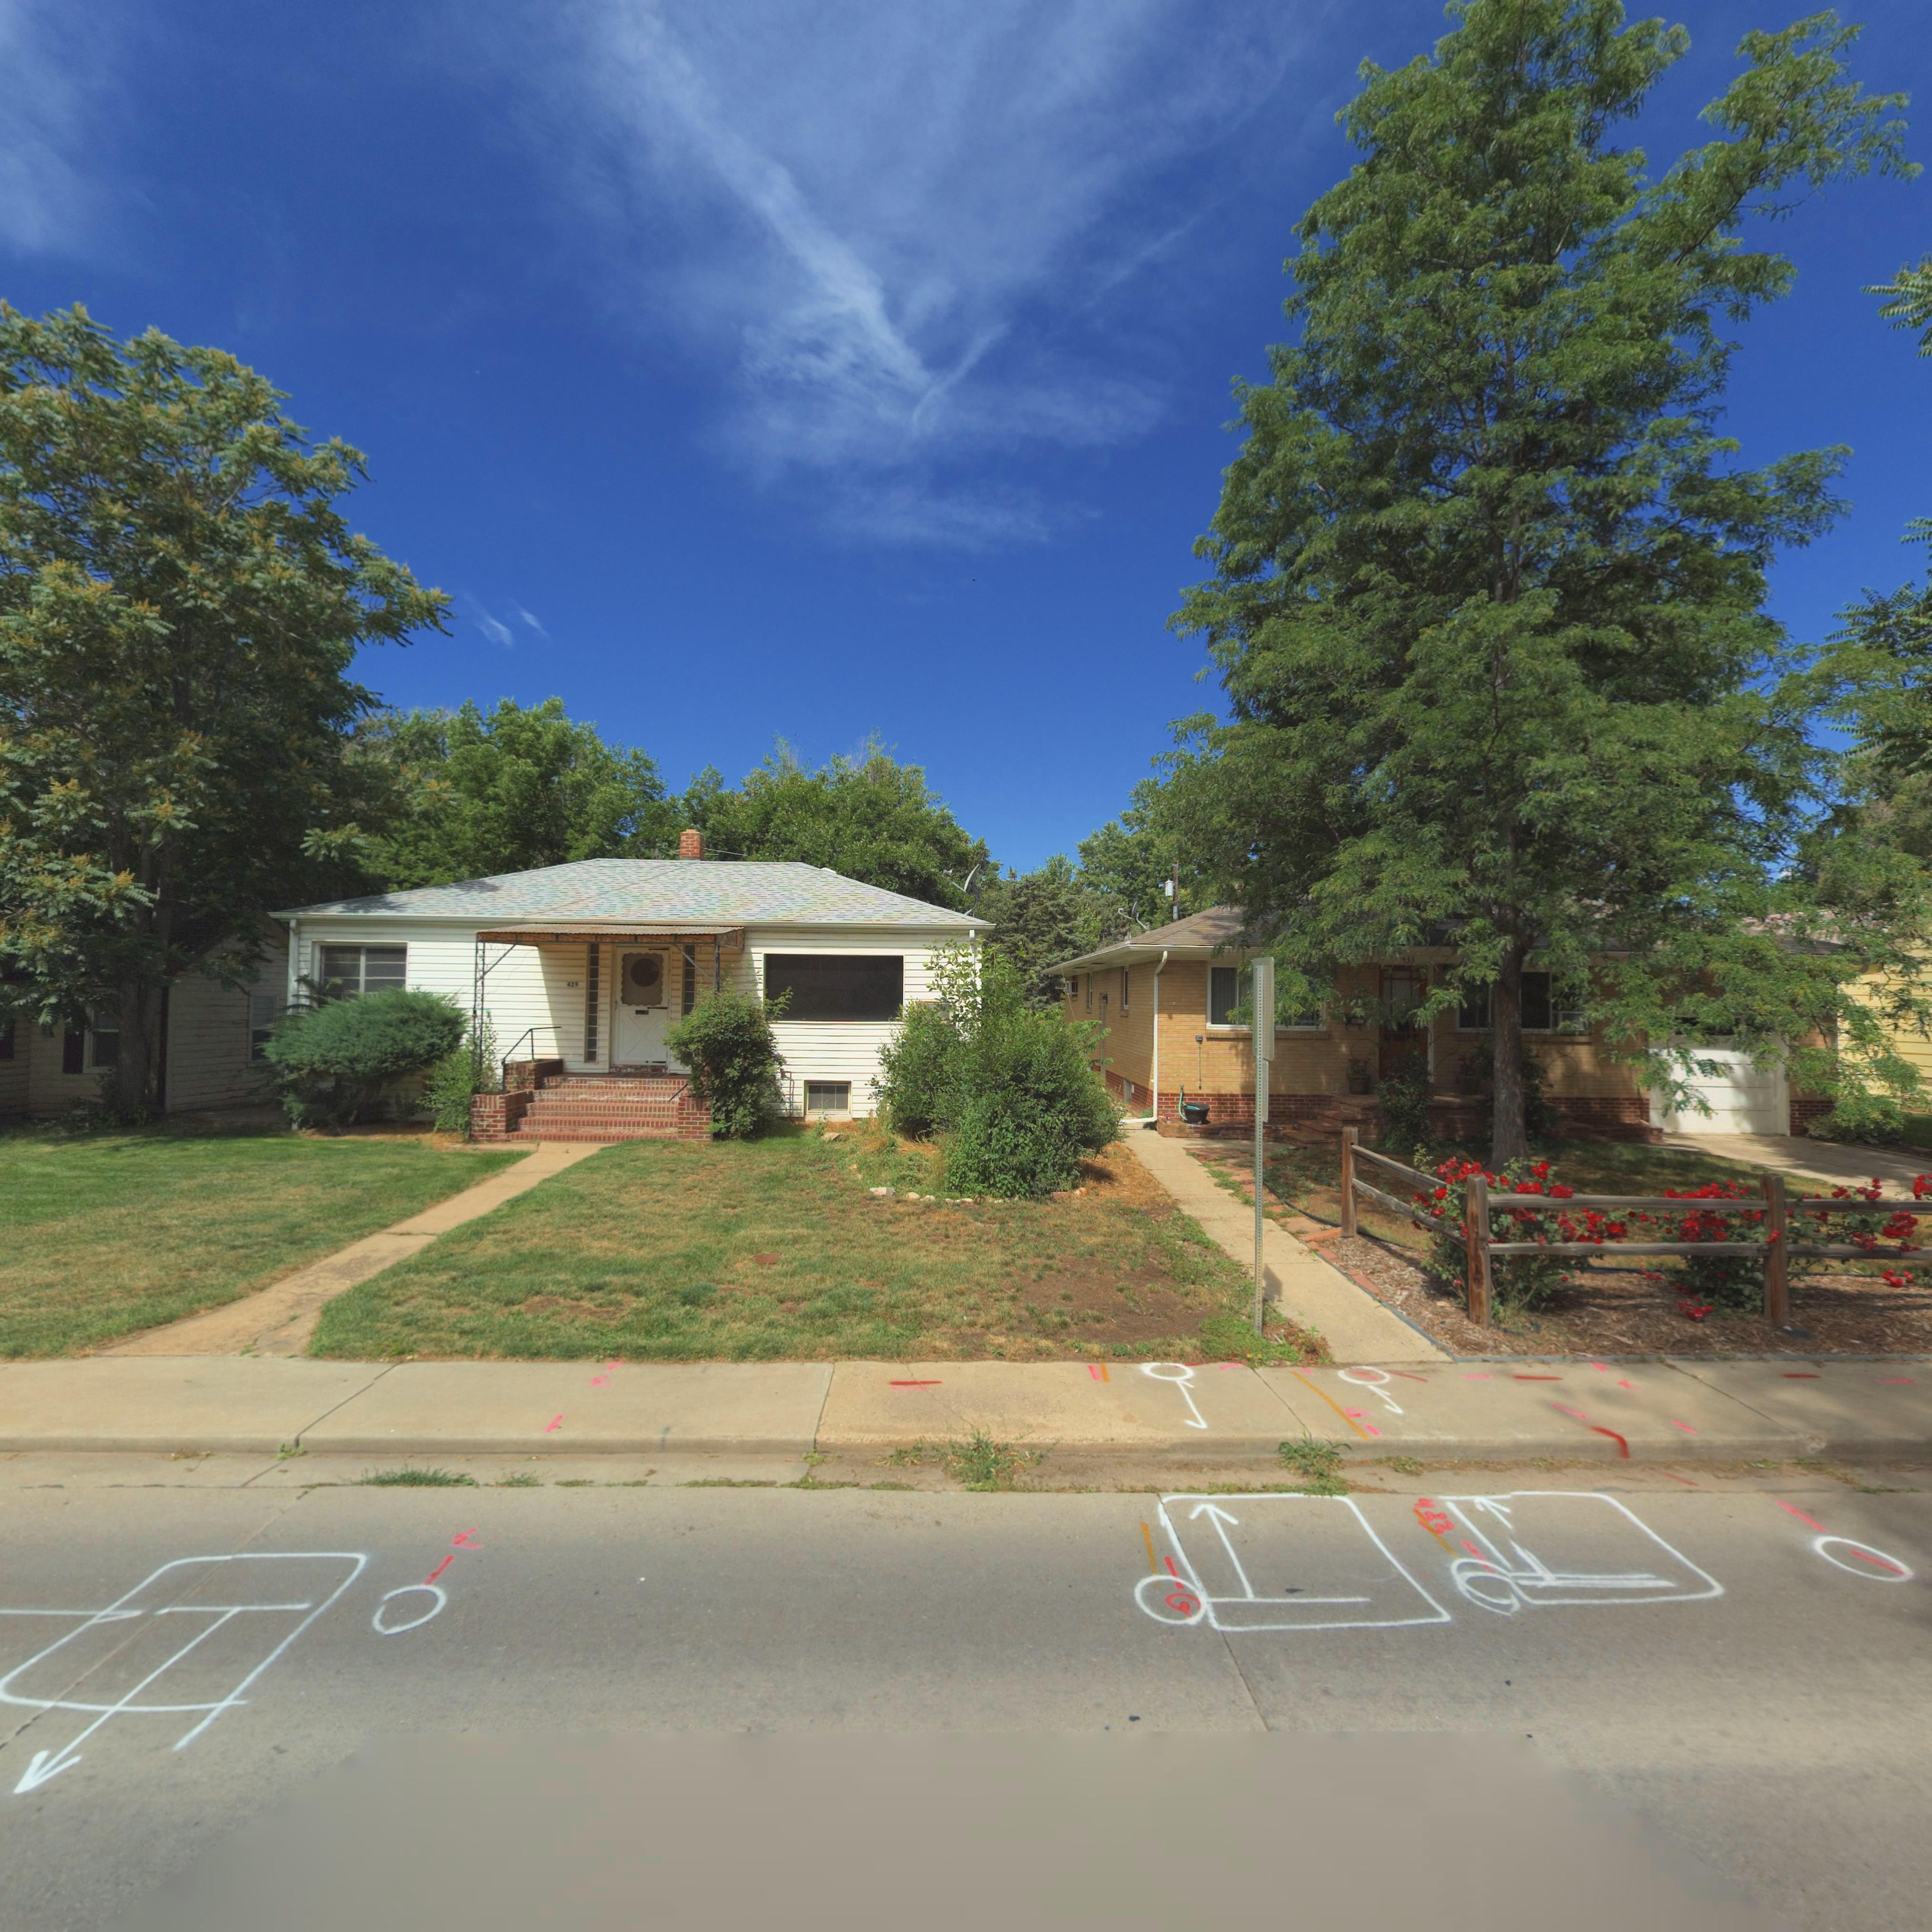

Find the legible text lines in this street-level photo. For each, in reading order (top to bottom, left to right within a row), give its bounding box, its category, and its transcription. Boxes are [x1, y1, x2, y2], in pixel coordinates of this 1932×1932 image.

[1401, 956, 1415, 963] StreetNumber: *33
[566, 981, 578, 987] StreetNumber: 429